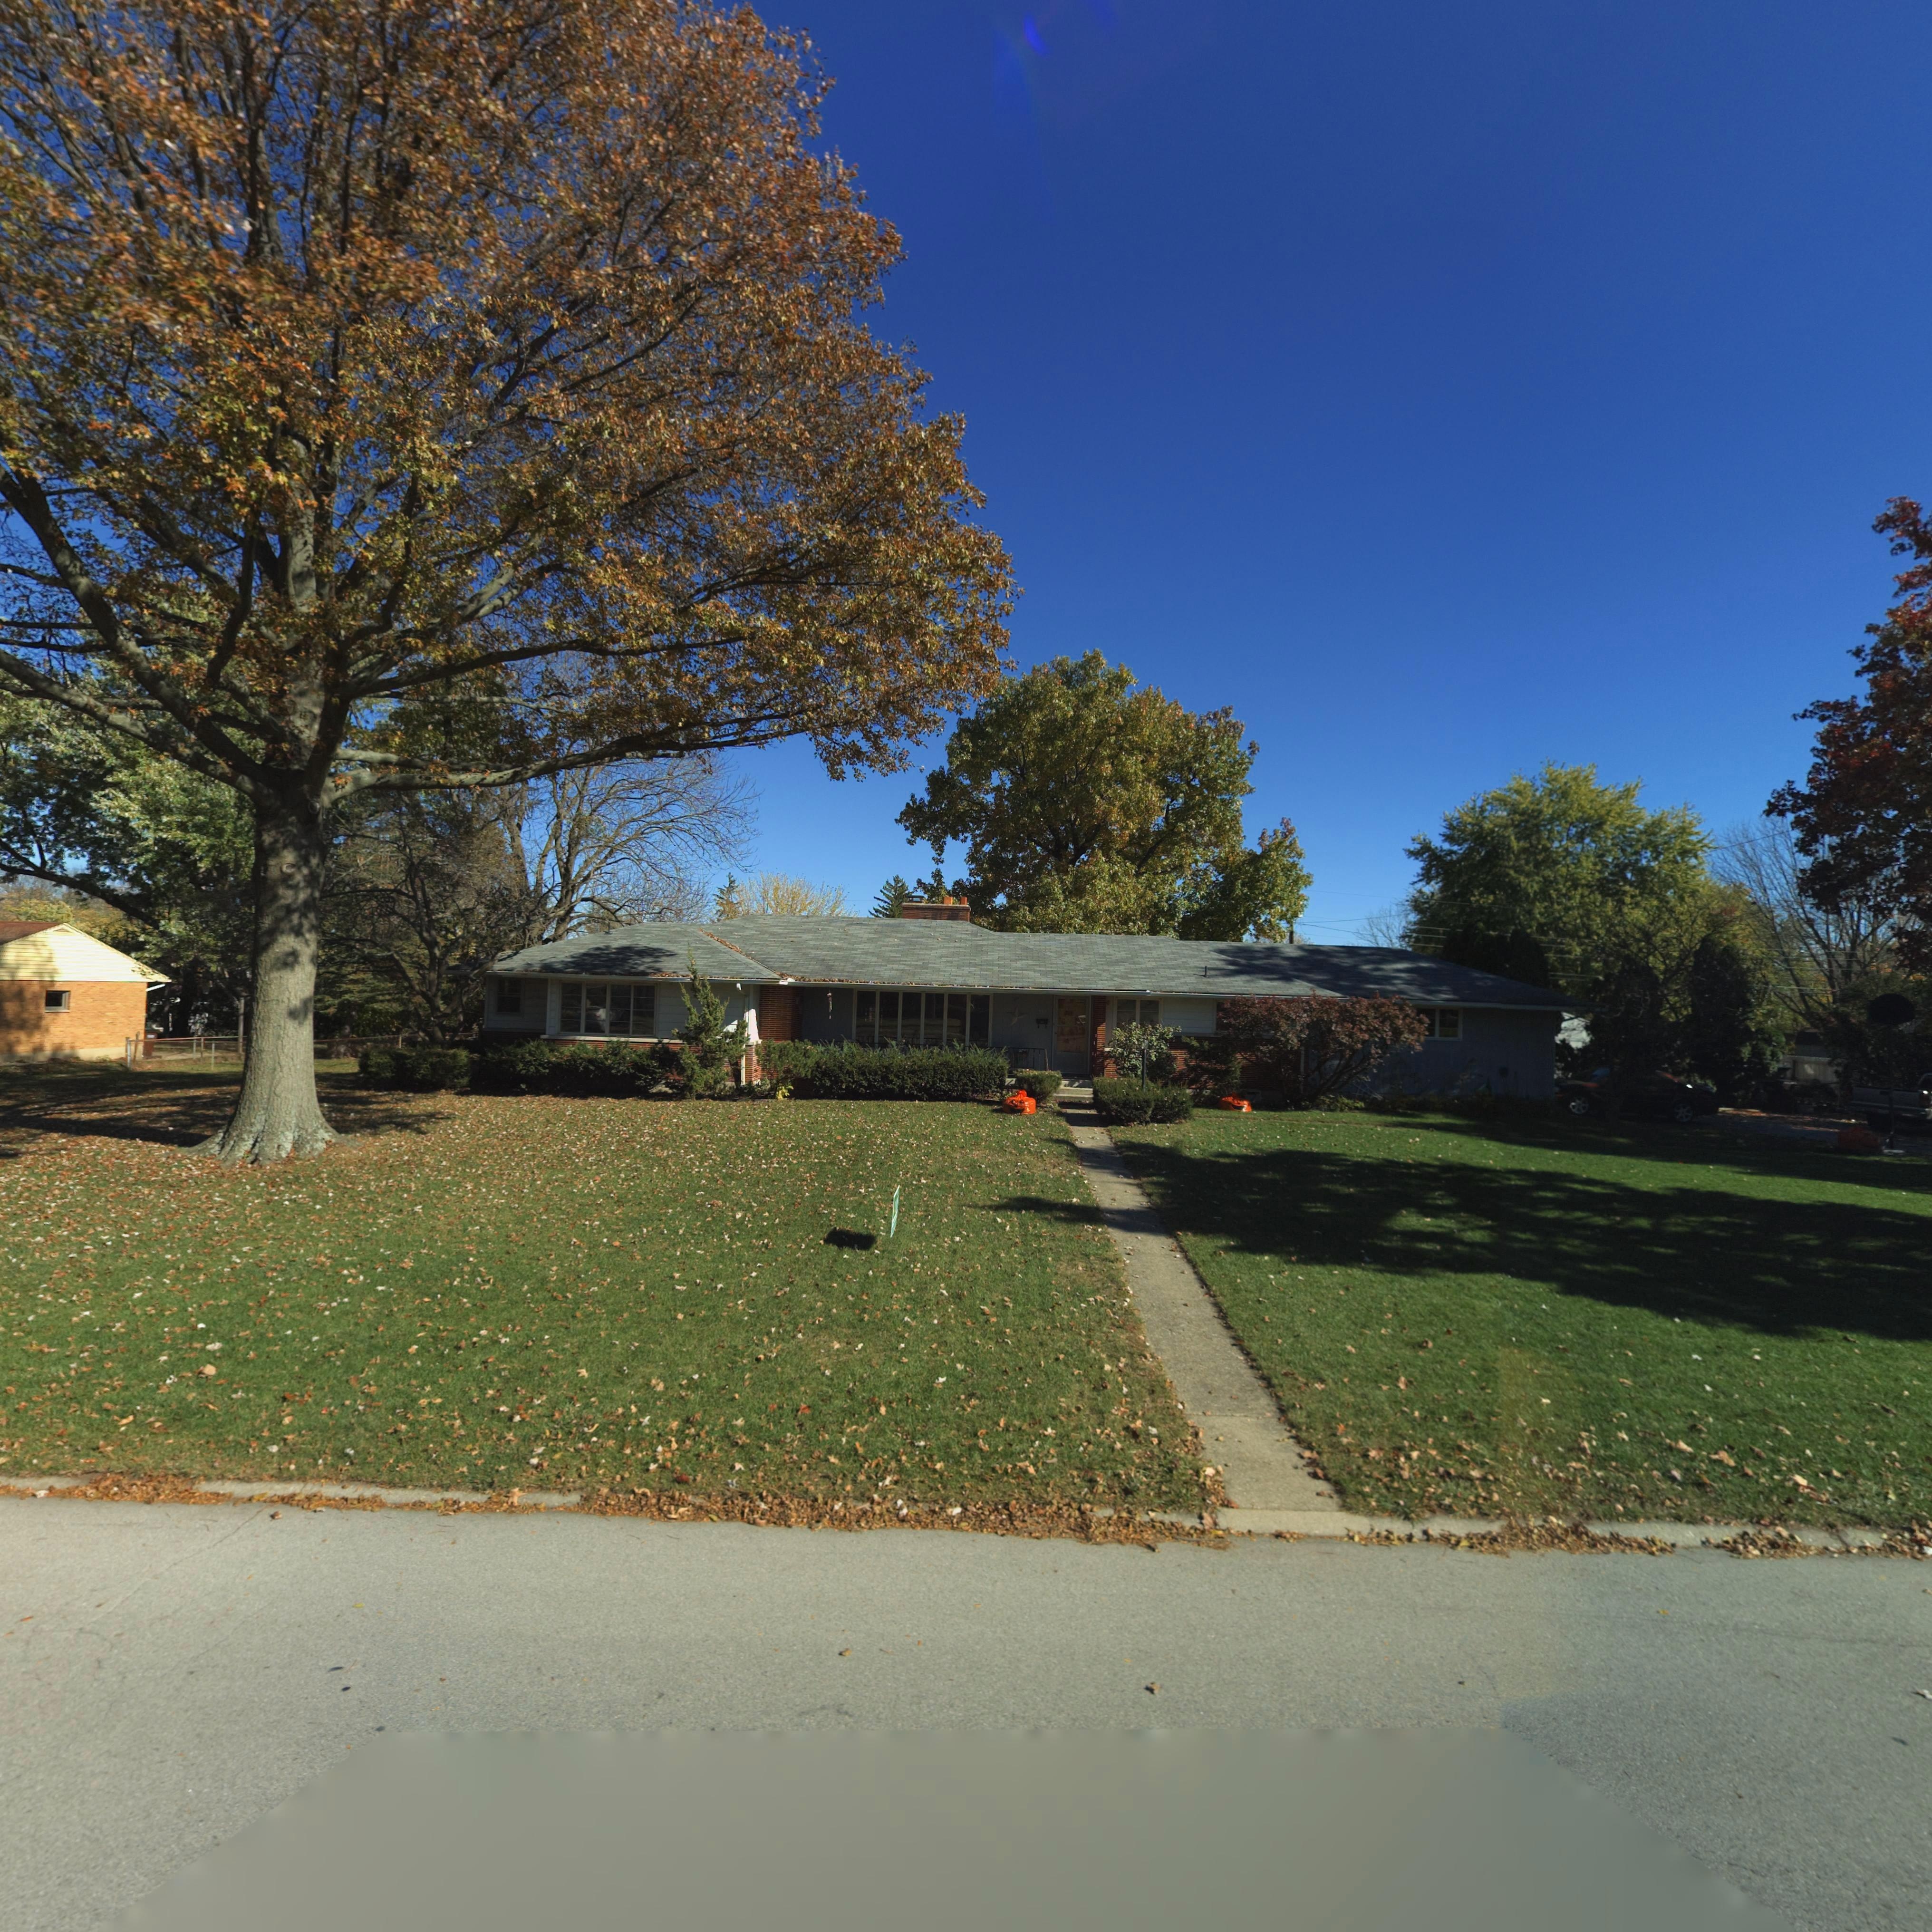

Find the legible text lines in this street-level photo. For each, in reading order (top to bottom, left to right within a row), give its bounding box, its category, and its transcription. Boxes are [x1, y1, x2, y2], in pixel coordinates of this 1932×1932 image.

[1037, 1009, 1047, 1014] StreetNumber: **2